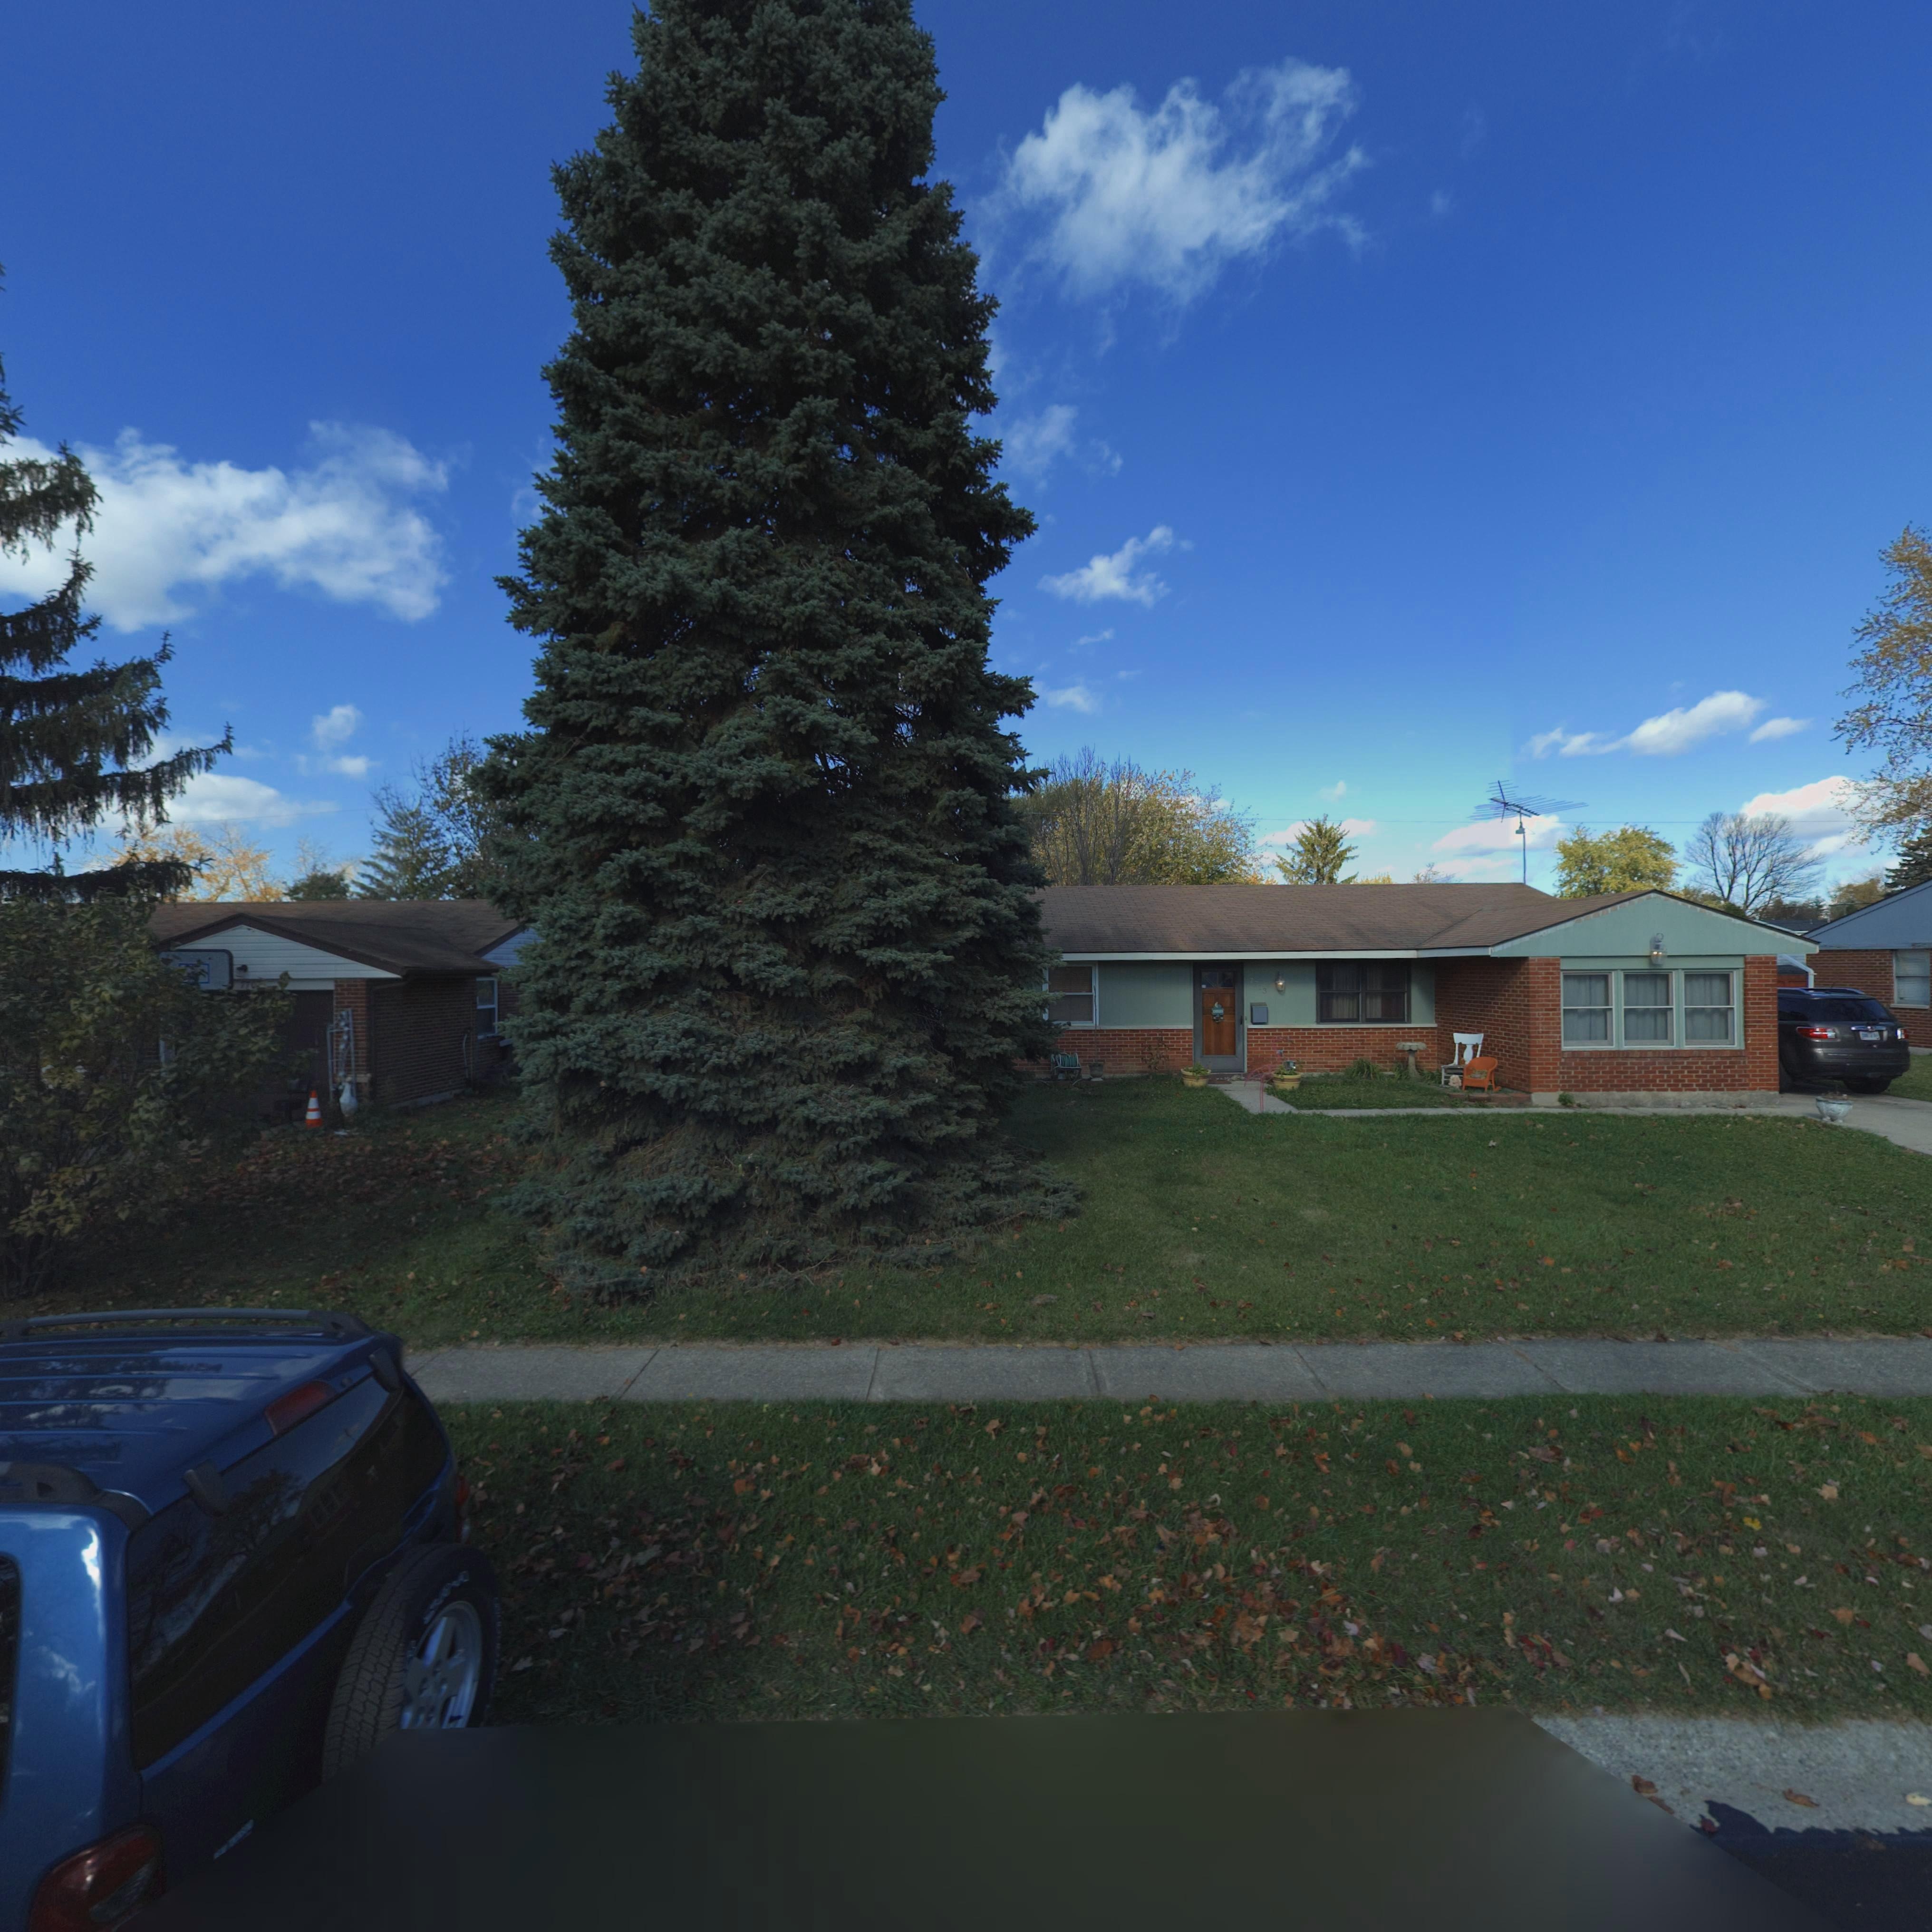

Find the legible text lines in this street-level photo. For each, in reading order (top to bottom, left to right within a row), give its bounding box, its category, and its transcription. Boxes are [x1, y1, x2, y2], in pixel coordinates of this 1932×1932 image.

[240, 980, 258, 990] StreetNumber: 770
[1248, 977, 1267, 995] StreetNumber: 7713